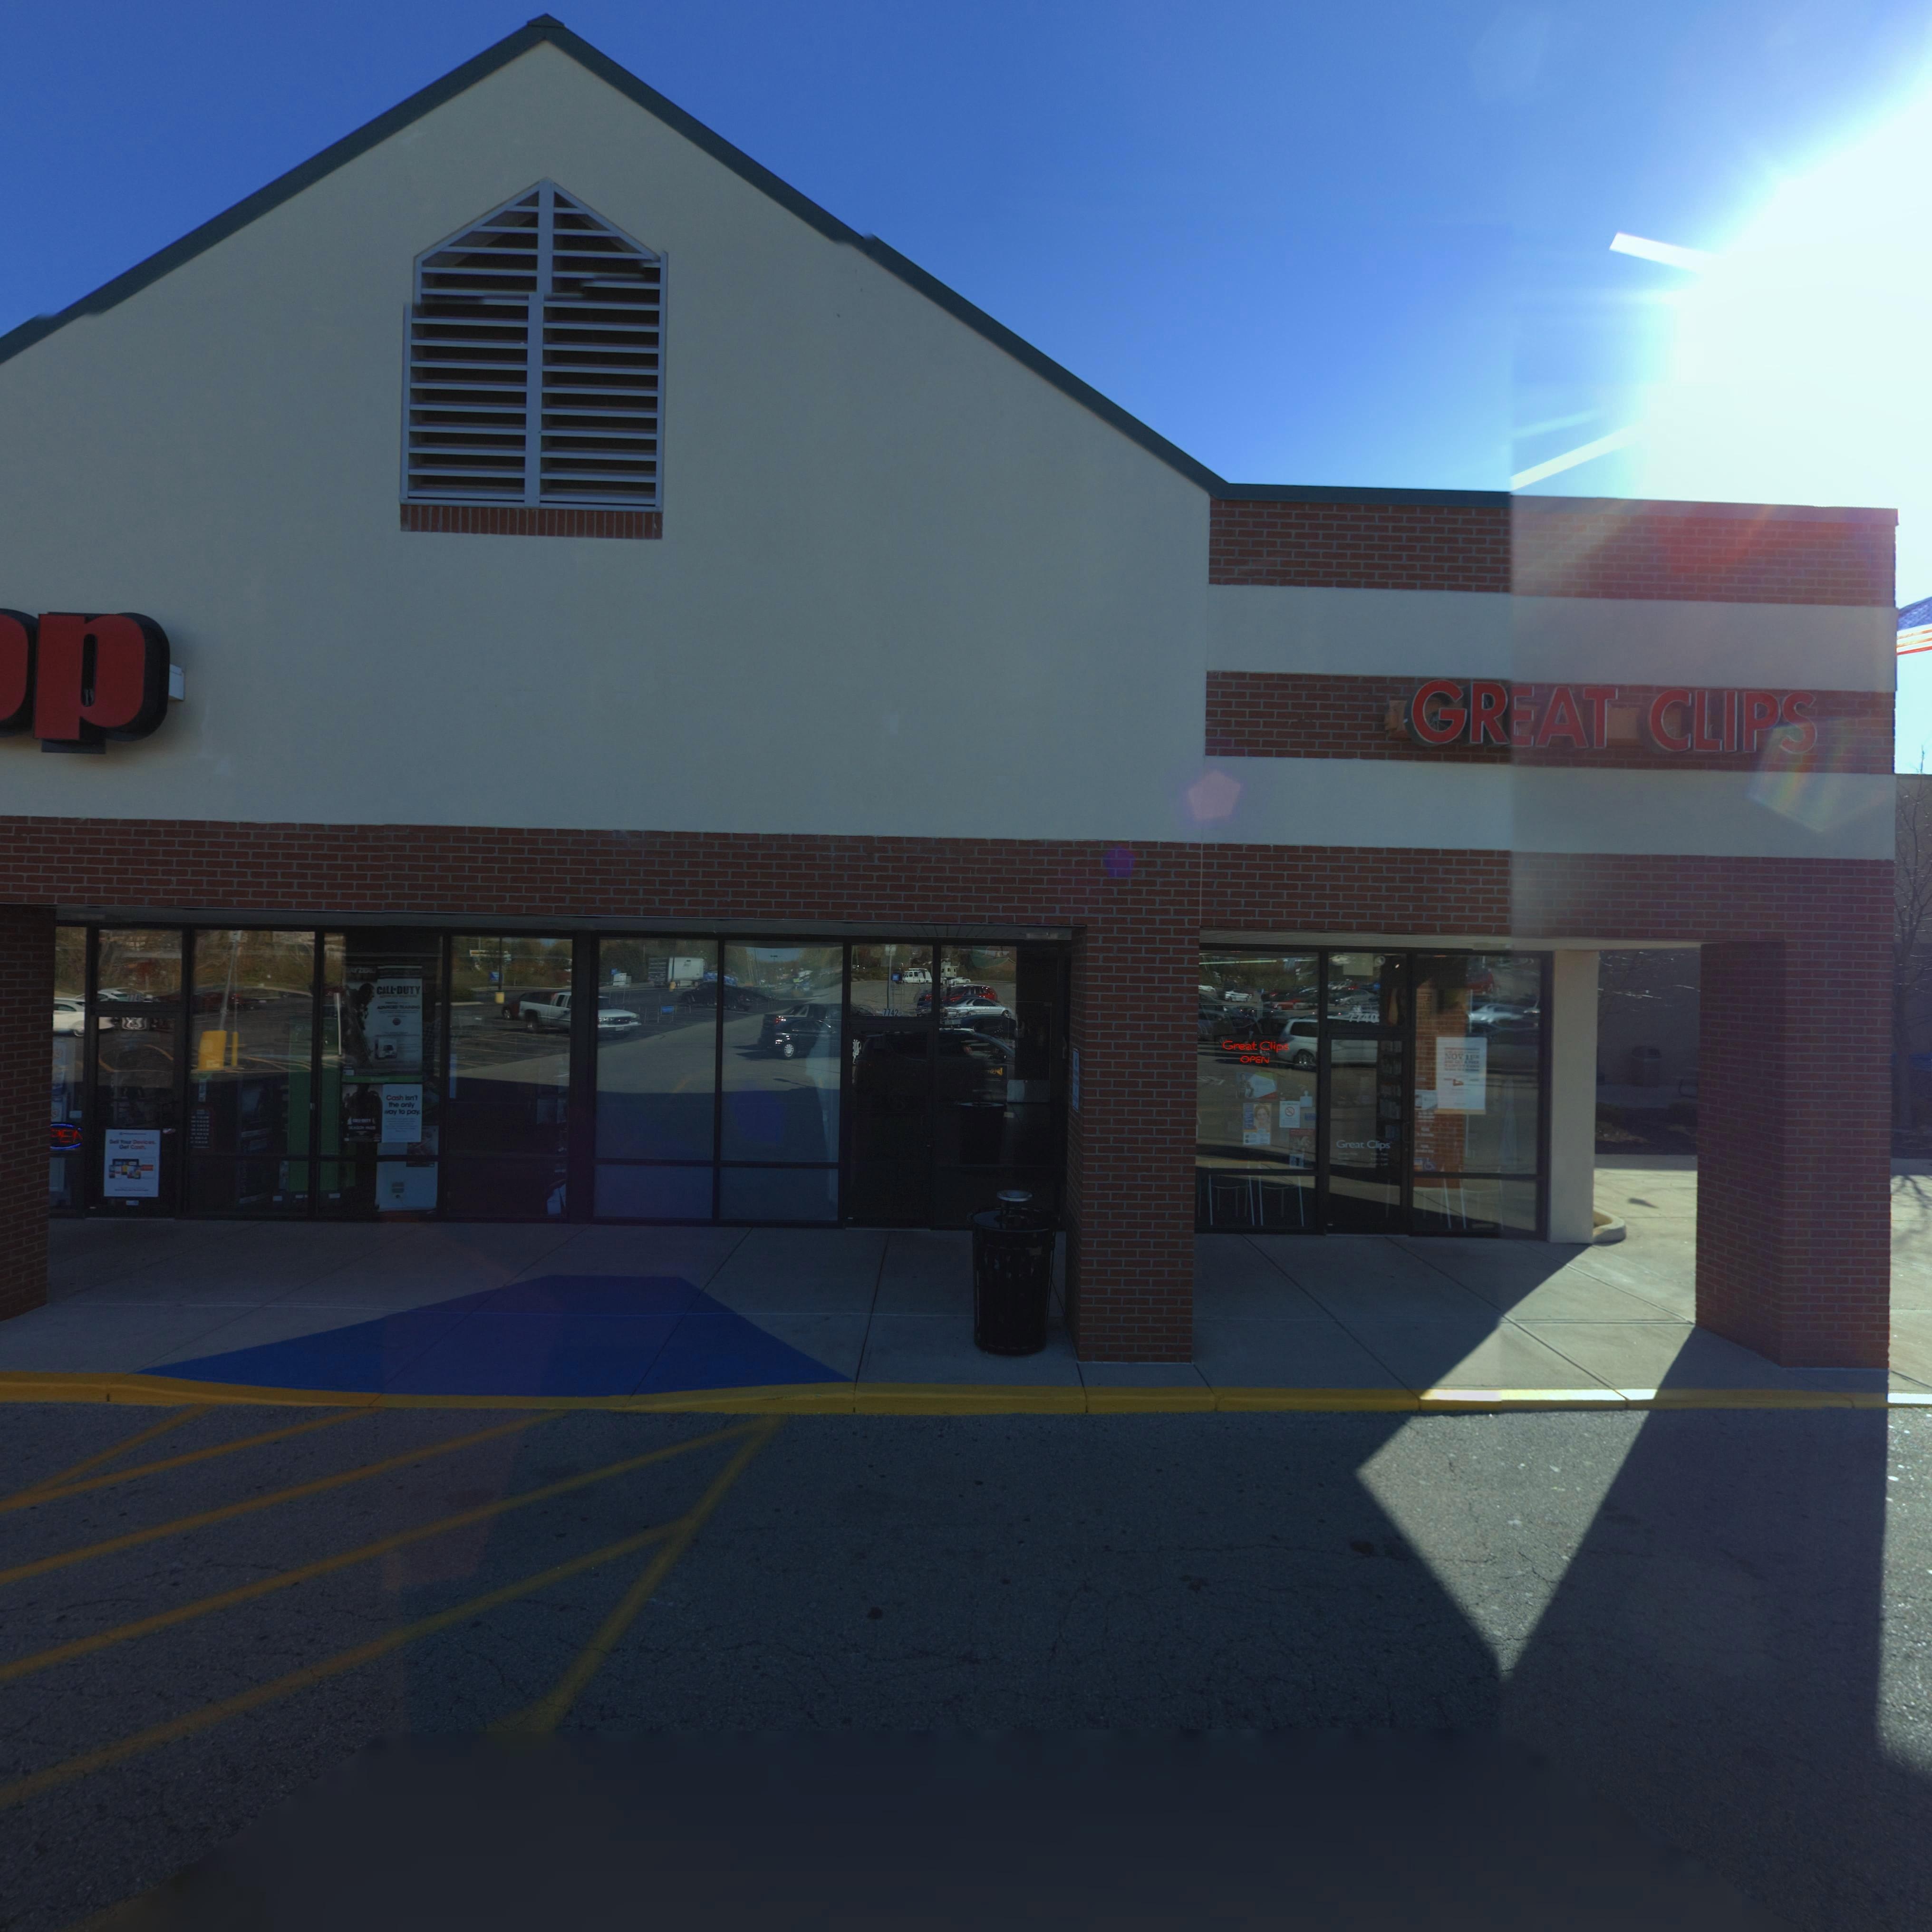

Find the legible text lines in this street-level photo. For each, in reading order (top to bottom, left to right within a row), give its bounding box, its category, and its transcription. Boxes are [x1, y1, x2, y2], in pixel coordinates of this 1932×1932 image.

[126, 993, 144, 1002] StreetNumber: 7746
[883, 1008, 898, 1017] StreetNumber: 7742
[1348, 1012, 1378, 1024] StreetNumber: 7740